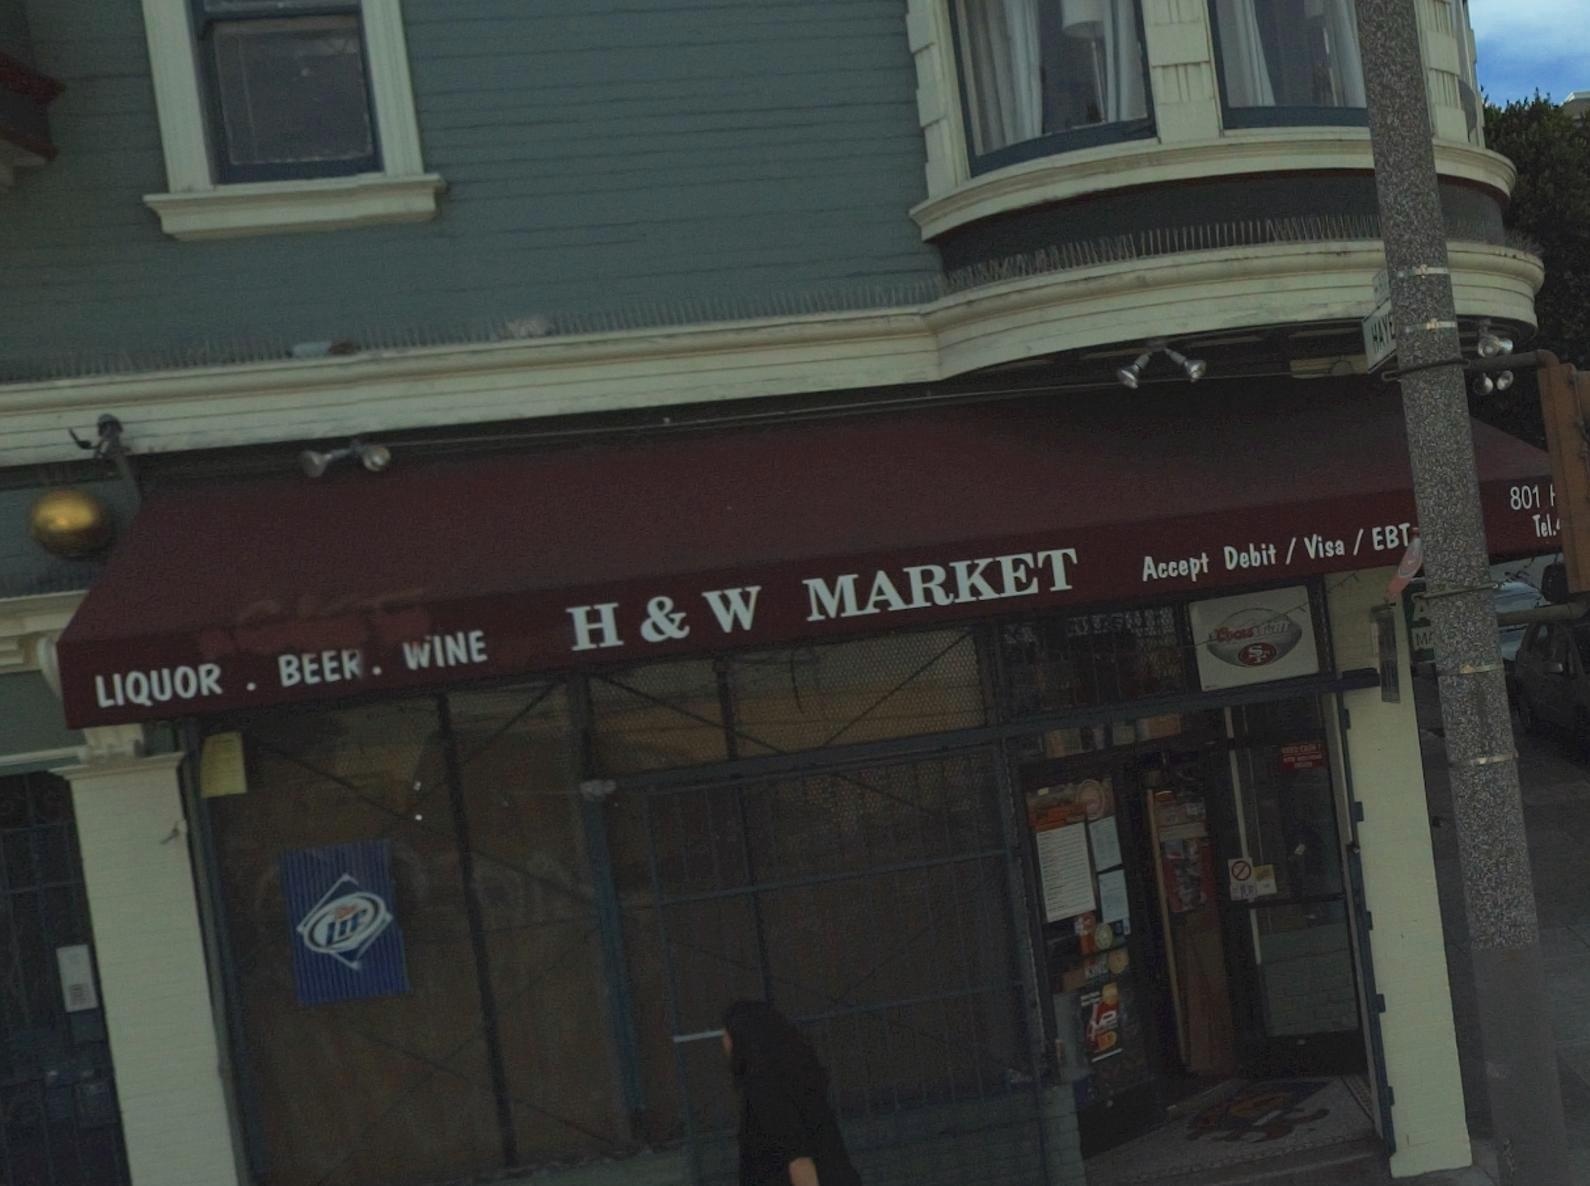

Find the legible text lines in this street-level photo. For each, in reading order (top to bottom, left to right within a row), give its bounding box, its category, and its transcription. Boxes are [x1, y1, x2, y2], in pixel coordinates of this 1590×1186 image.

[1368, 307, 1392, 358] StreetName: HAY
[1507, 481, 1544, 513] StreetNumber: 801
[1529, 511, 1555, 540] None: Tel
[1139, 518, 1413, 587] None: Accept Debit / Visa / EBT
[558, 542, 1083, 660] BusinessName: H & W MARKET
[1213, 624, 1232, 646] None: C
[1263, 618, 1294, 638] None: GHT
[1412, 628, 1431, 649] None: M
[84, 624, 495, 715] None: LIQUOR . BEE* . WINE
[322, 918, 355, 949] None: L